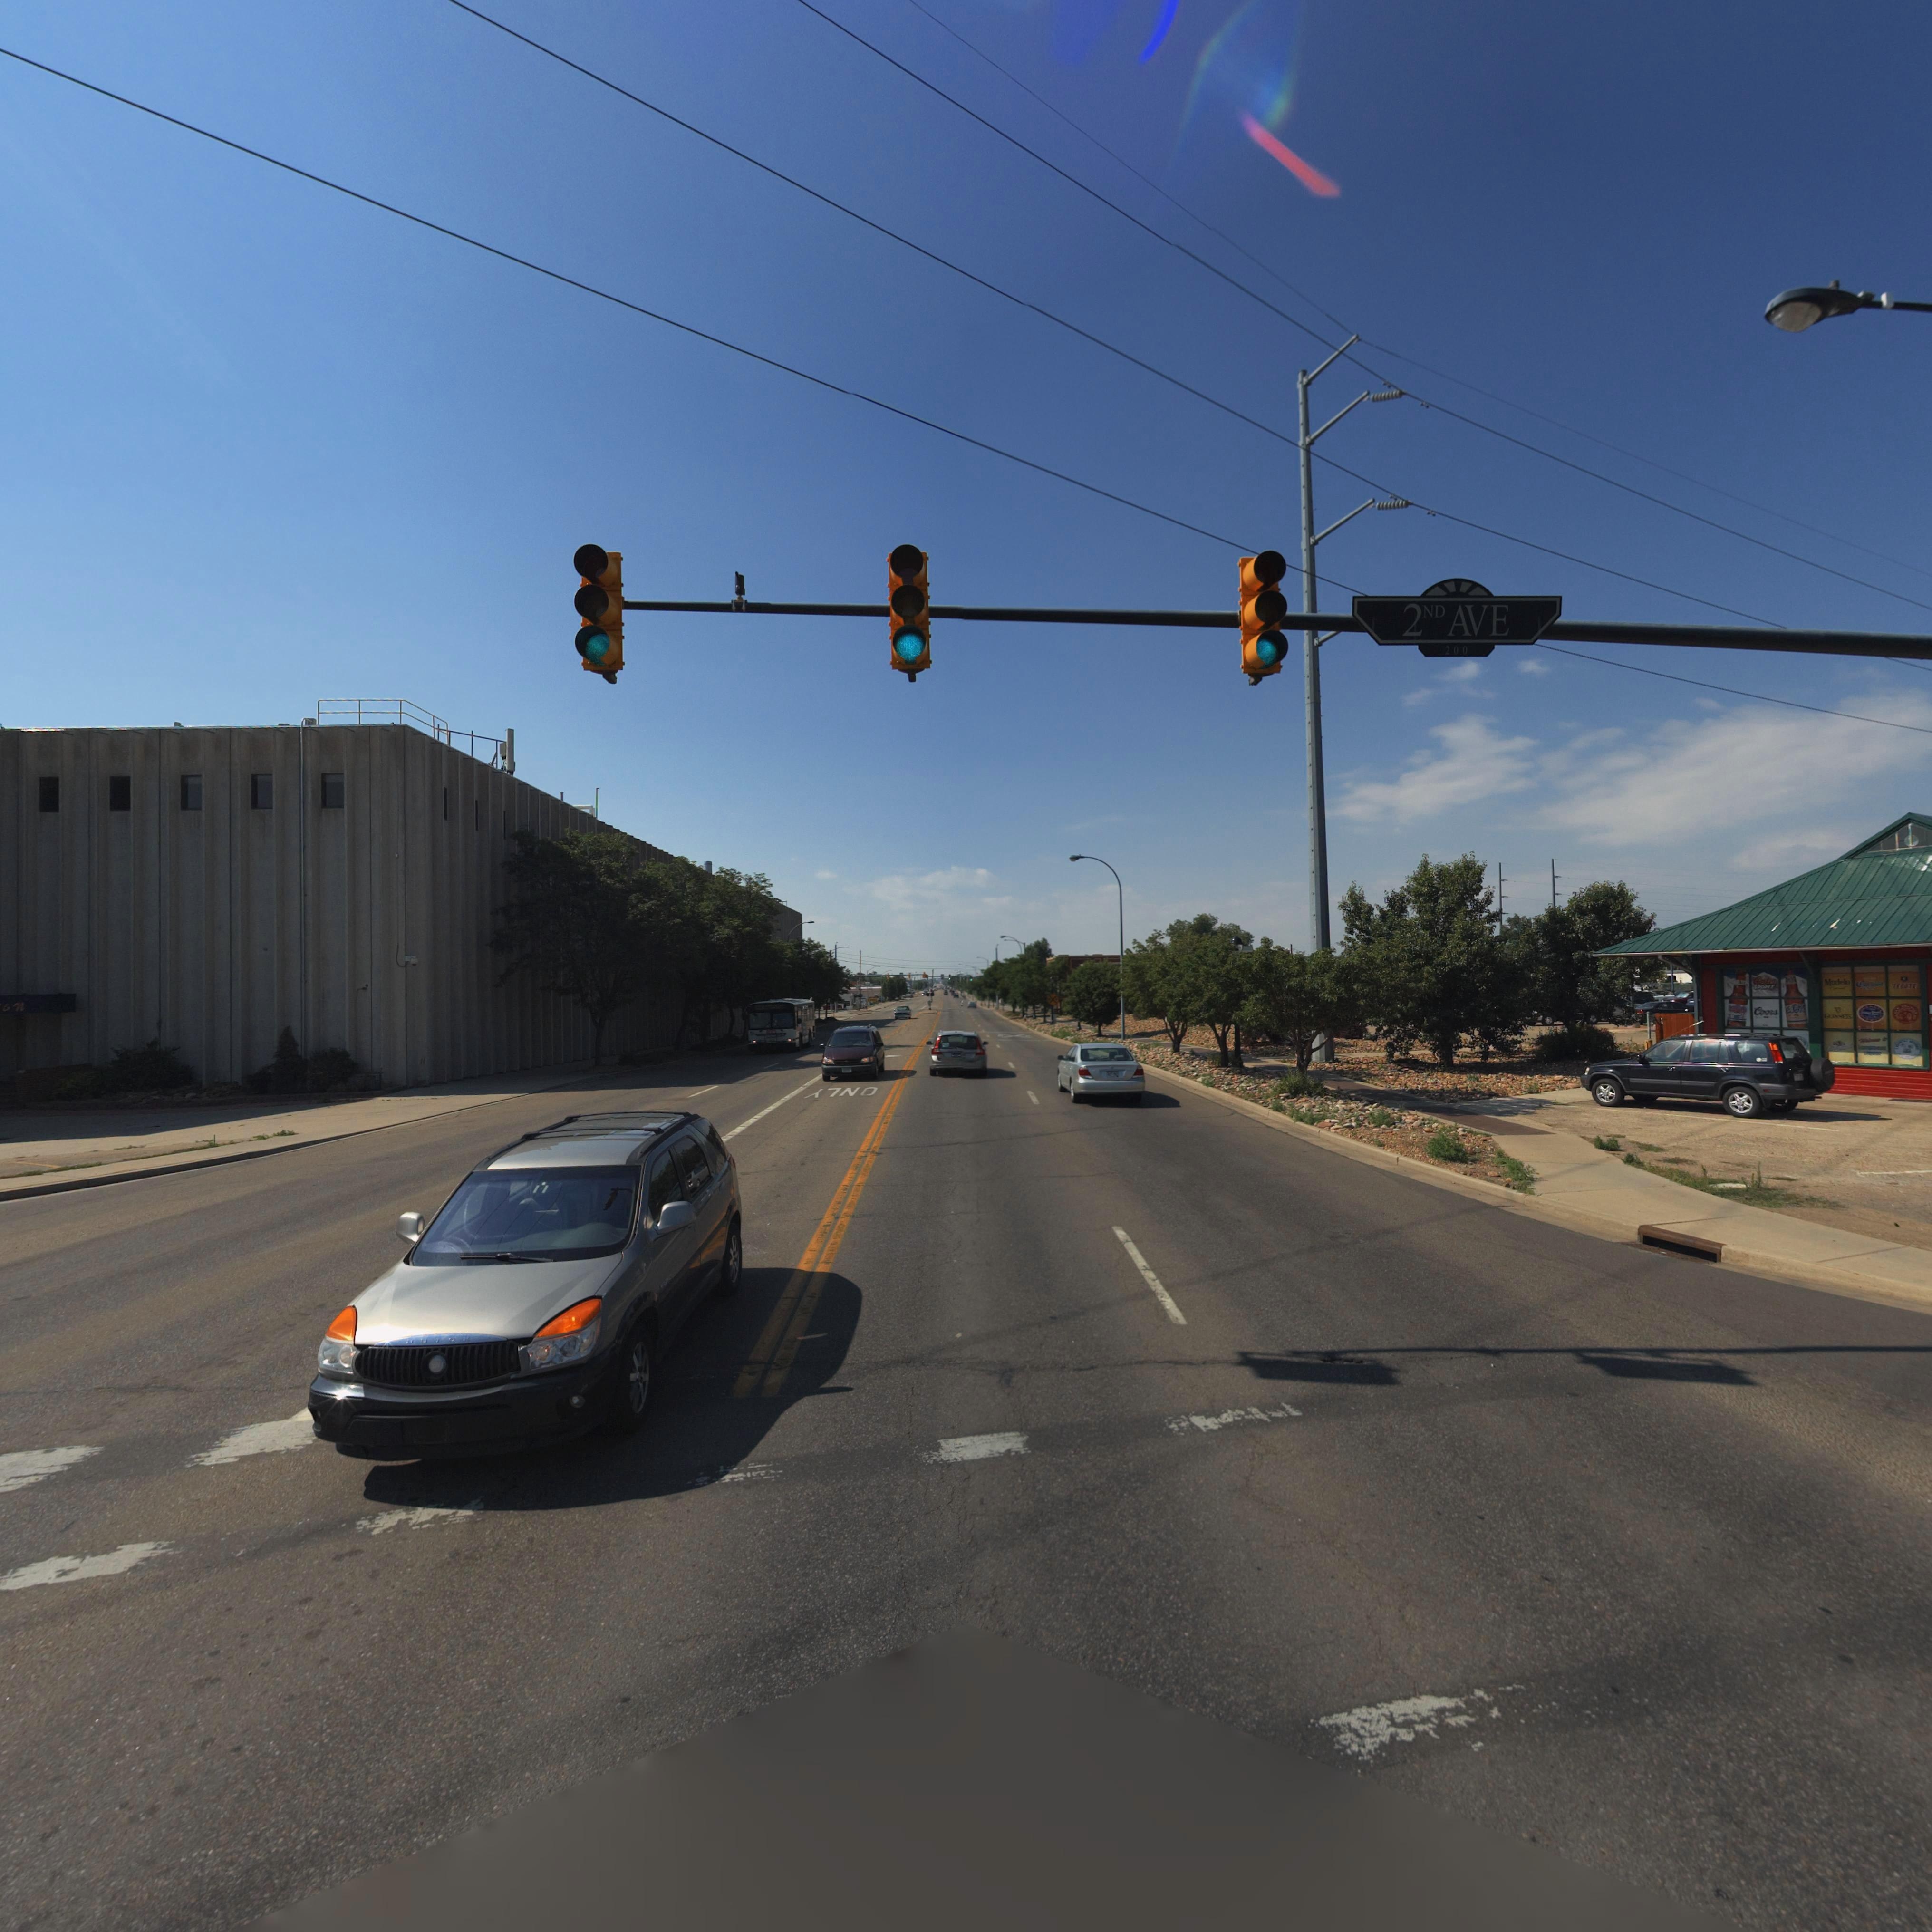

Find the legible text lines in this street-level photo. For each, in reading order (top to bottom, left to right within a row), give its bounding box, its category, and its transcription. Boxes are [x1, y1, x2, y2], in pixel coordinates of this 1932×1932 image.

[1401, 602, 1510, 637] StreetName: 2ND AVE
[1445, 645, 1468, 655] StreetNumberRange: 200
[2, 1001, 26, 1012] StreetName: IN